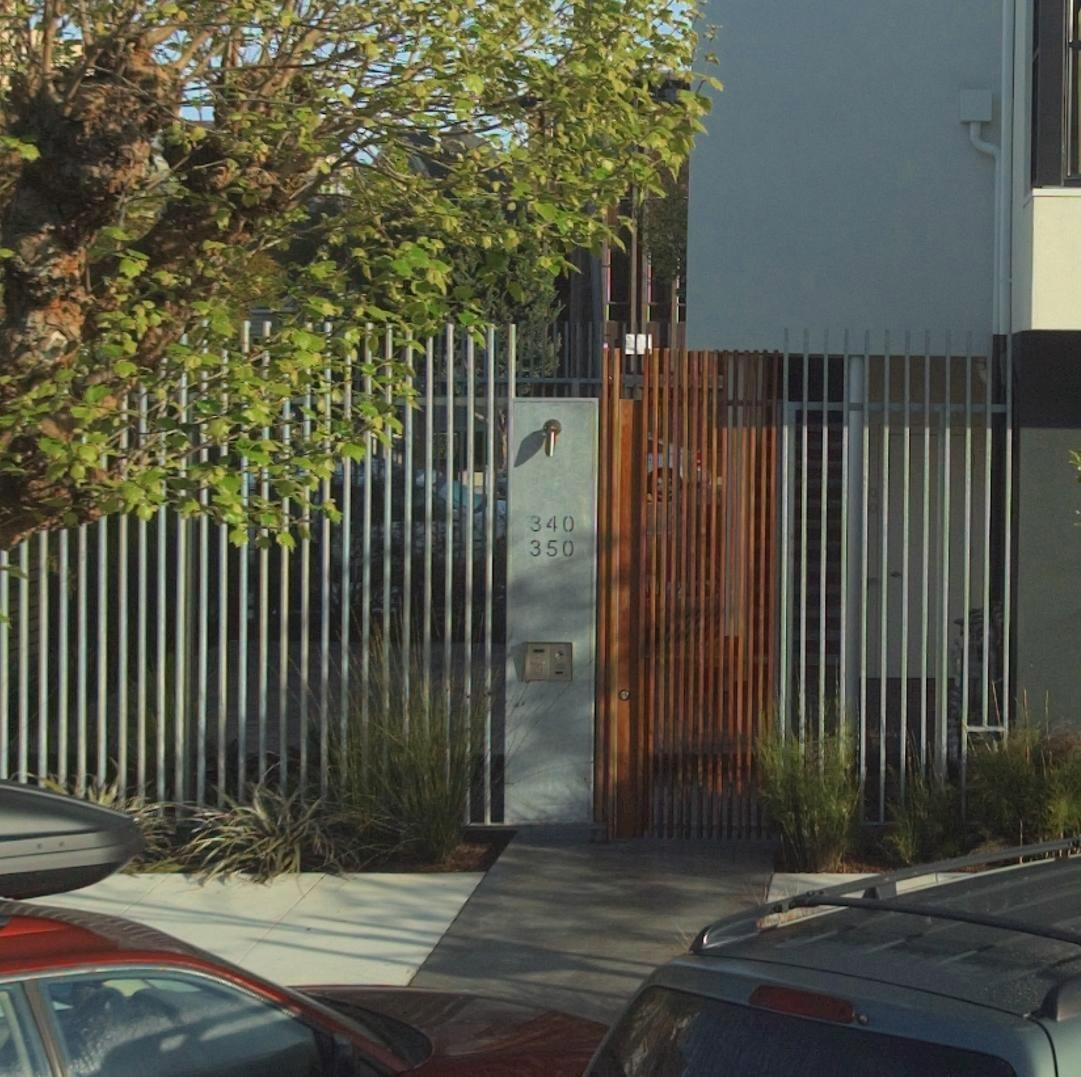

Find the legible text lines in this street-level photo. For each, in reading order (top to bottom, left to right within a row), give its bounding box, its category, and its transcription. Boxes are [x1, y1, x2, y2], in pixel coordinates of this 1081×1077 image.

[527, 512, 577, 534] StreetNumber: 340
[527, 537, 577, 559] StreetNumber: 350